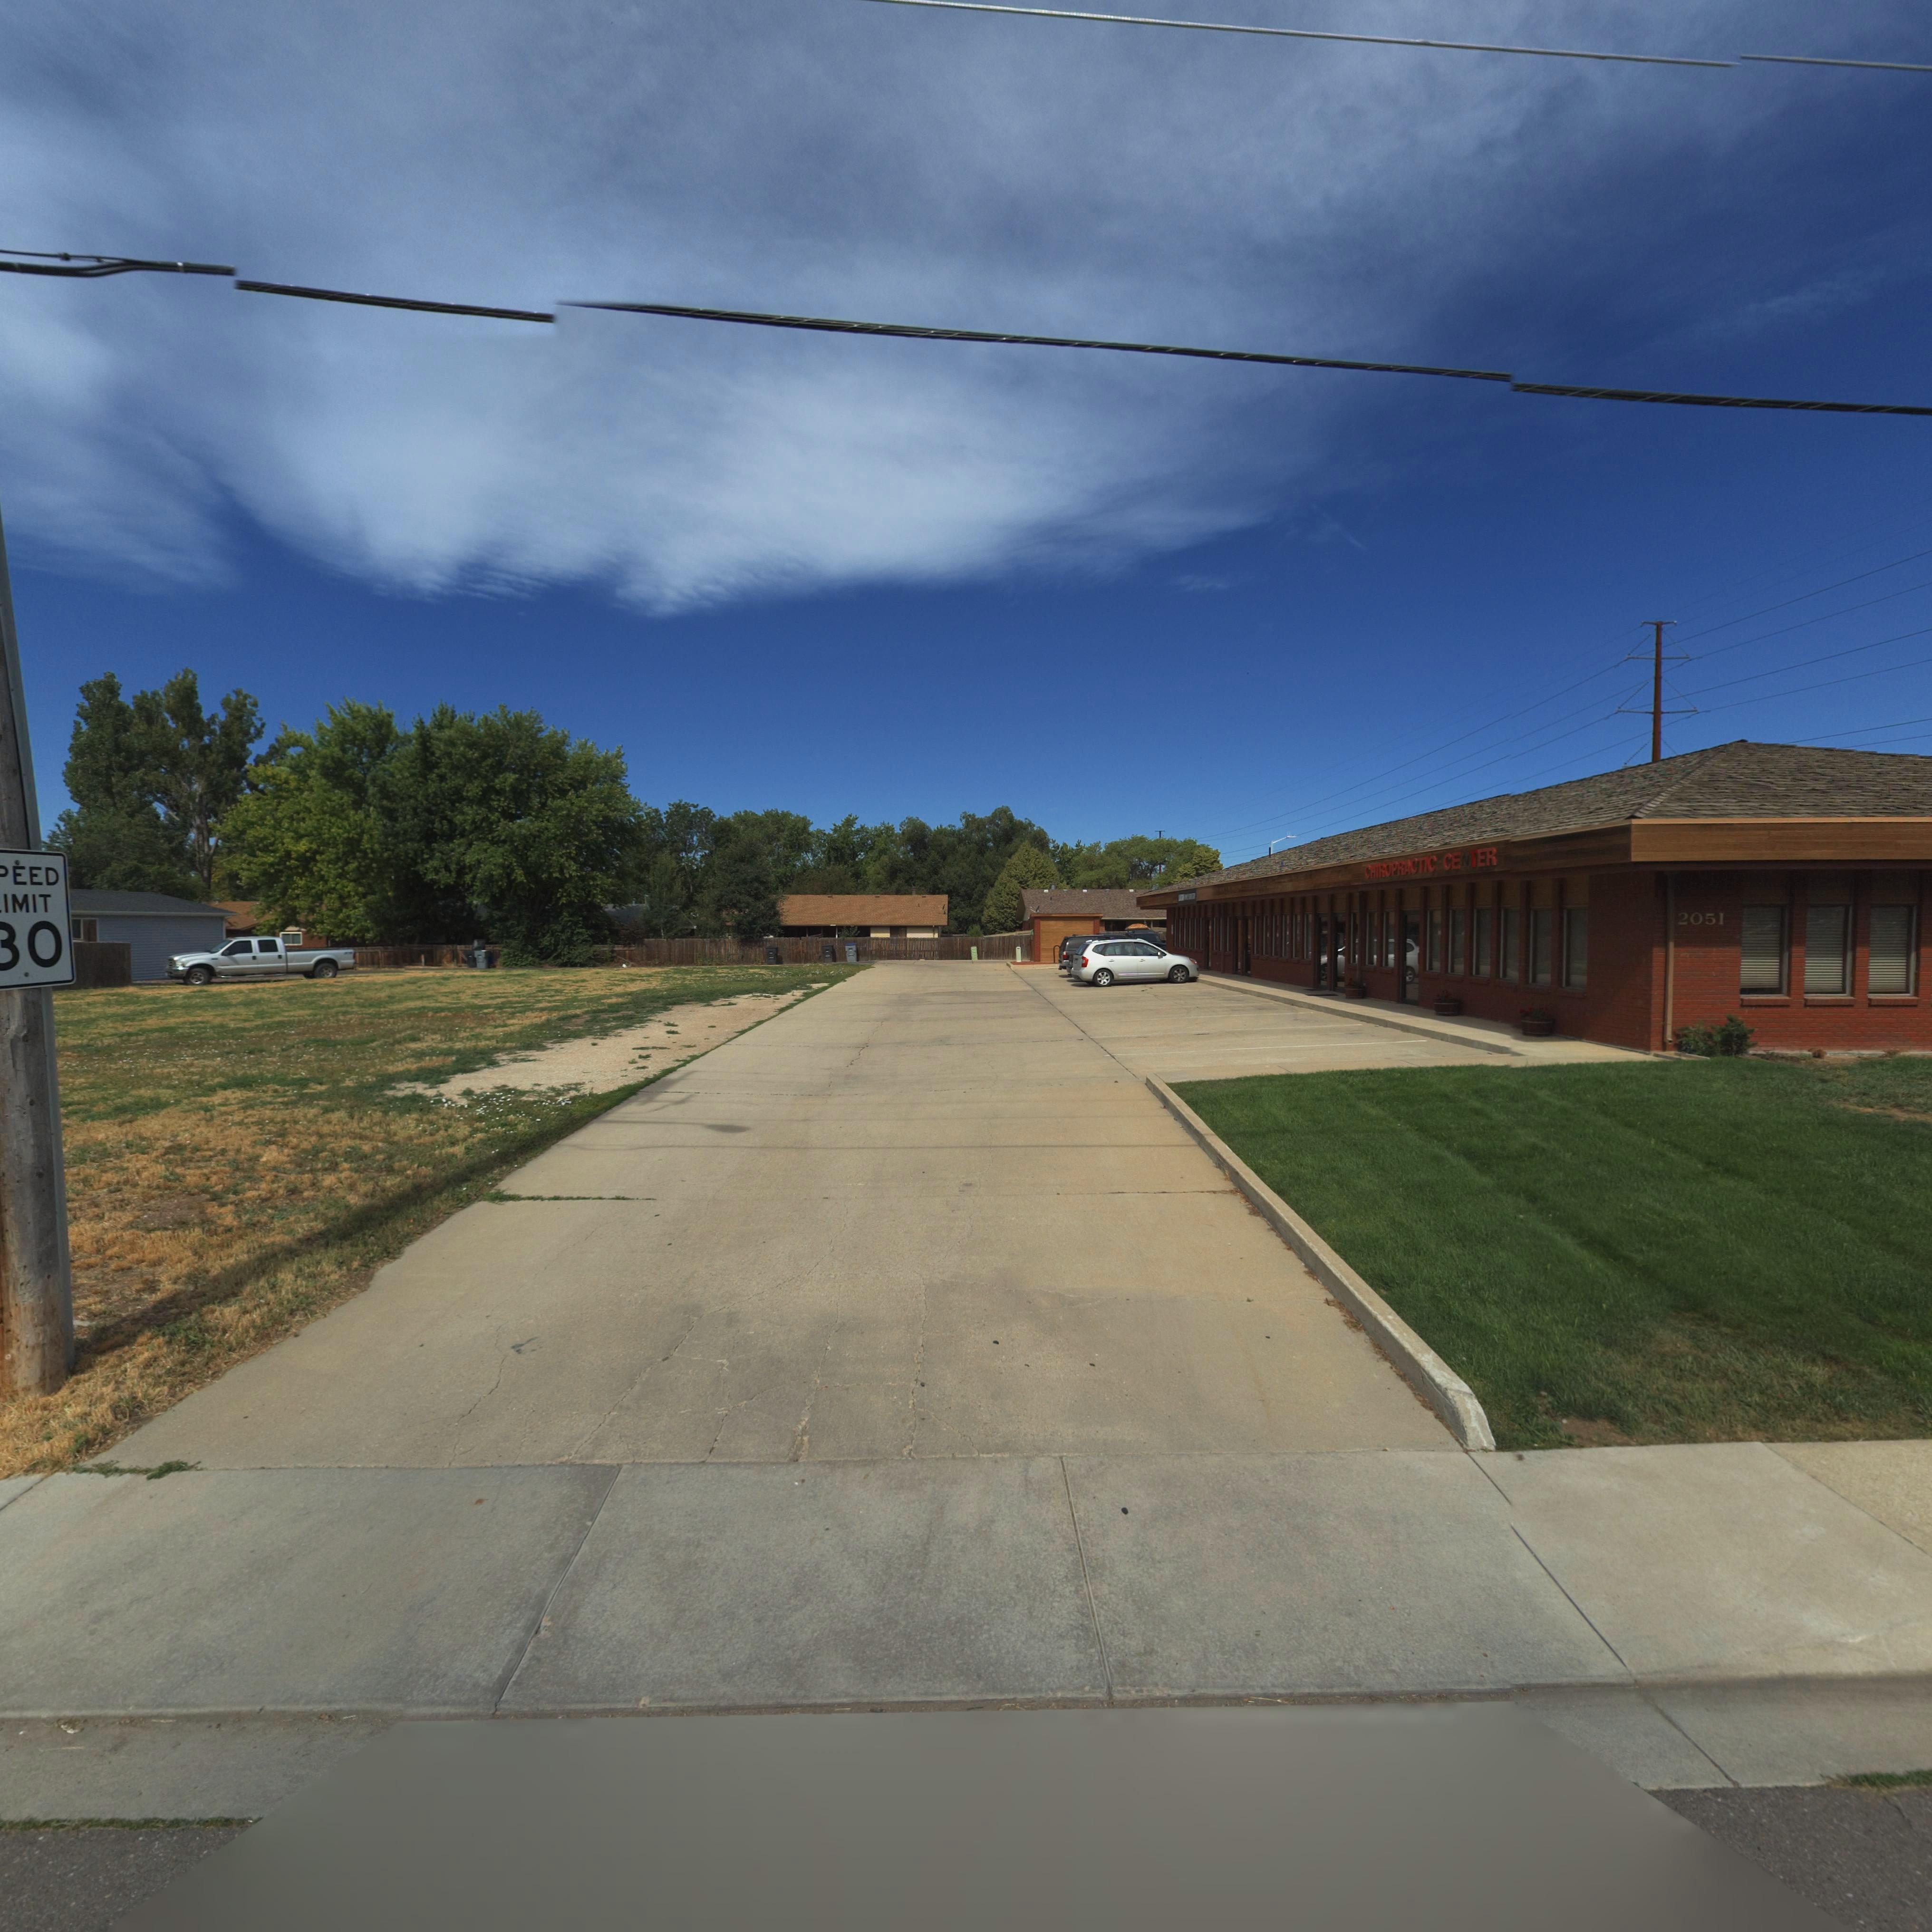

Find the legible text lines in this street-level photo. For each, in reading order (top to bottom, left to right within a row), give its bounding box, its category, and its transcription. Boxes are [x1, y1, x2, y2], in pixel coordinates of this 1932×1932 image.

[1677, 911, 1724, 926] StreetNumber: 2051